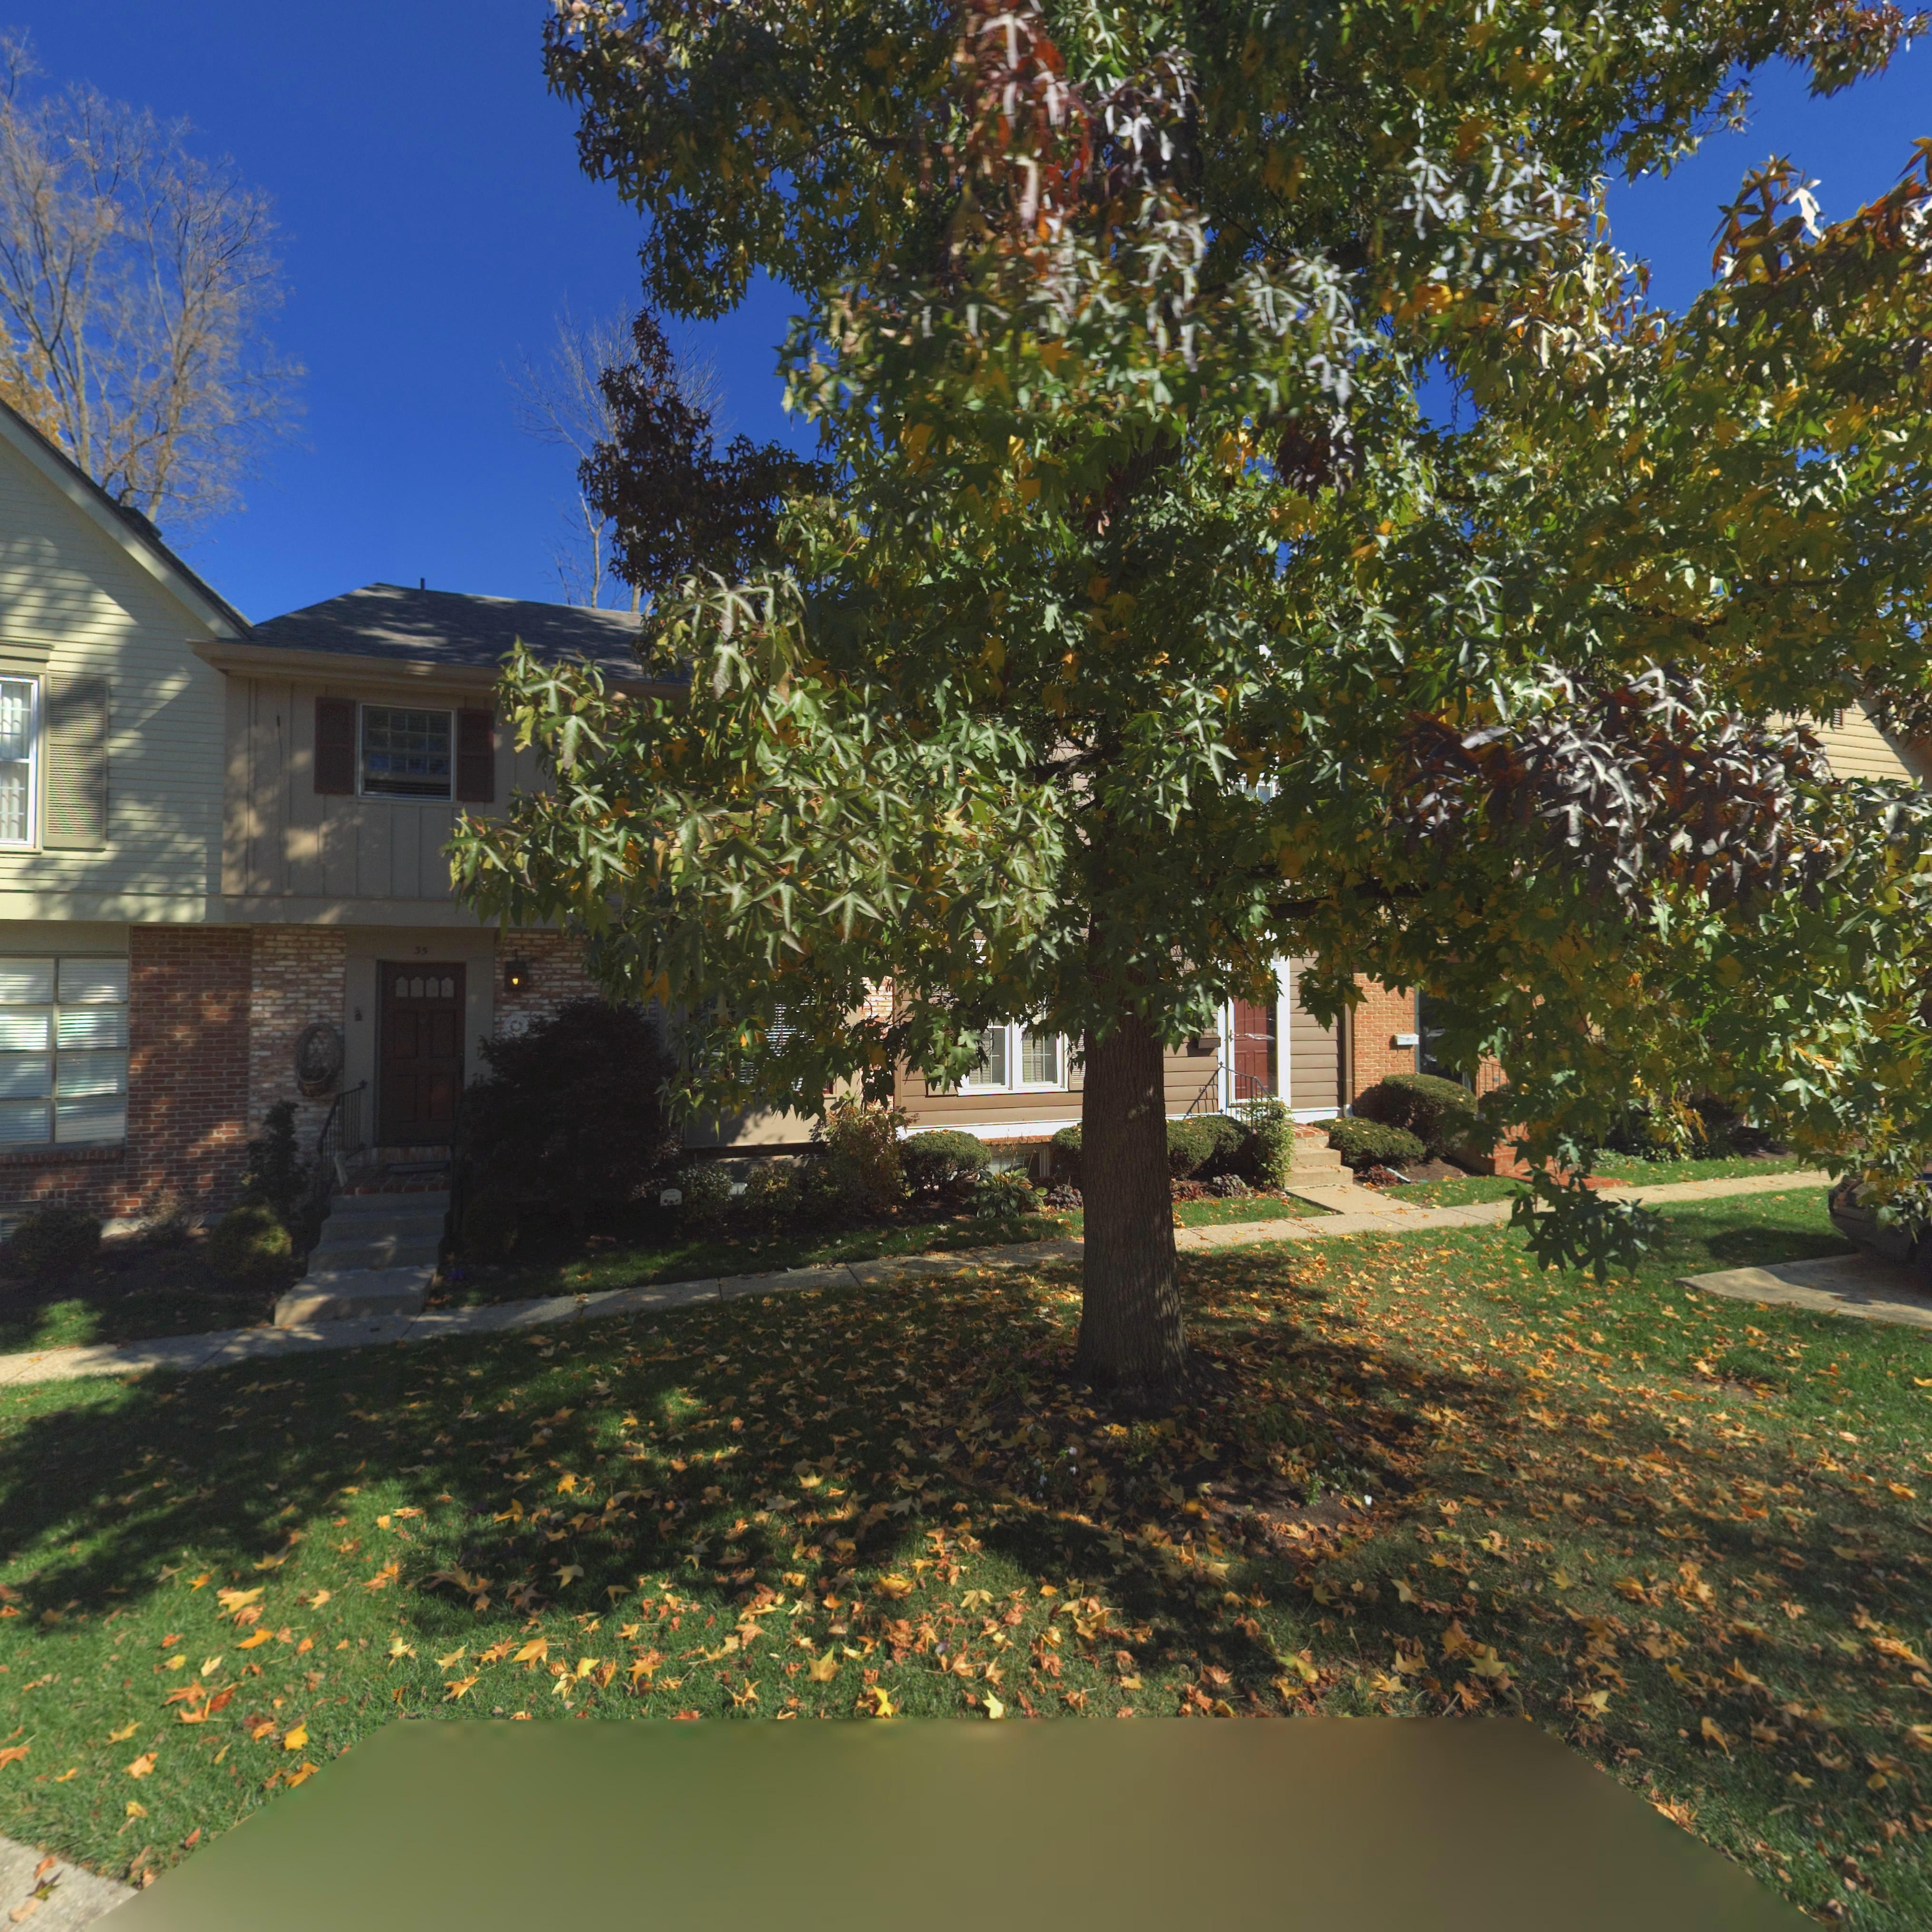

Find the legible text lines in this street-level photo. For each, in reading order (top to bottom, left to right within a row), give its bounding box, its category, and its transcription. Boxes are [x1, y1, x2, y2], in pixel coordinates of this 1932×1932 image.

[414, 946, 428, 955] StreetNumber: 35